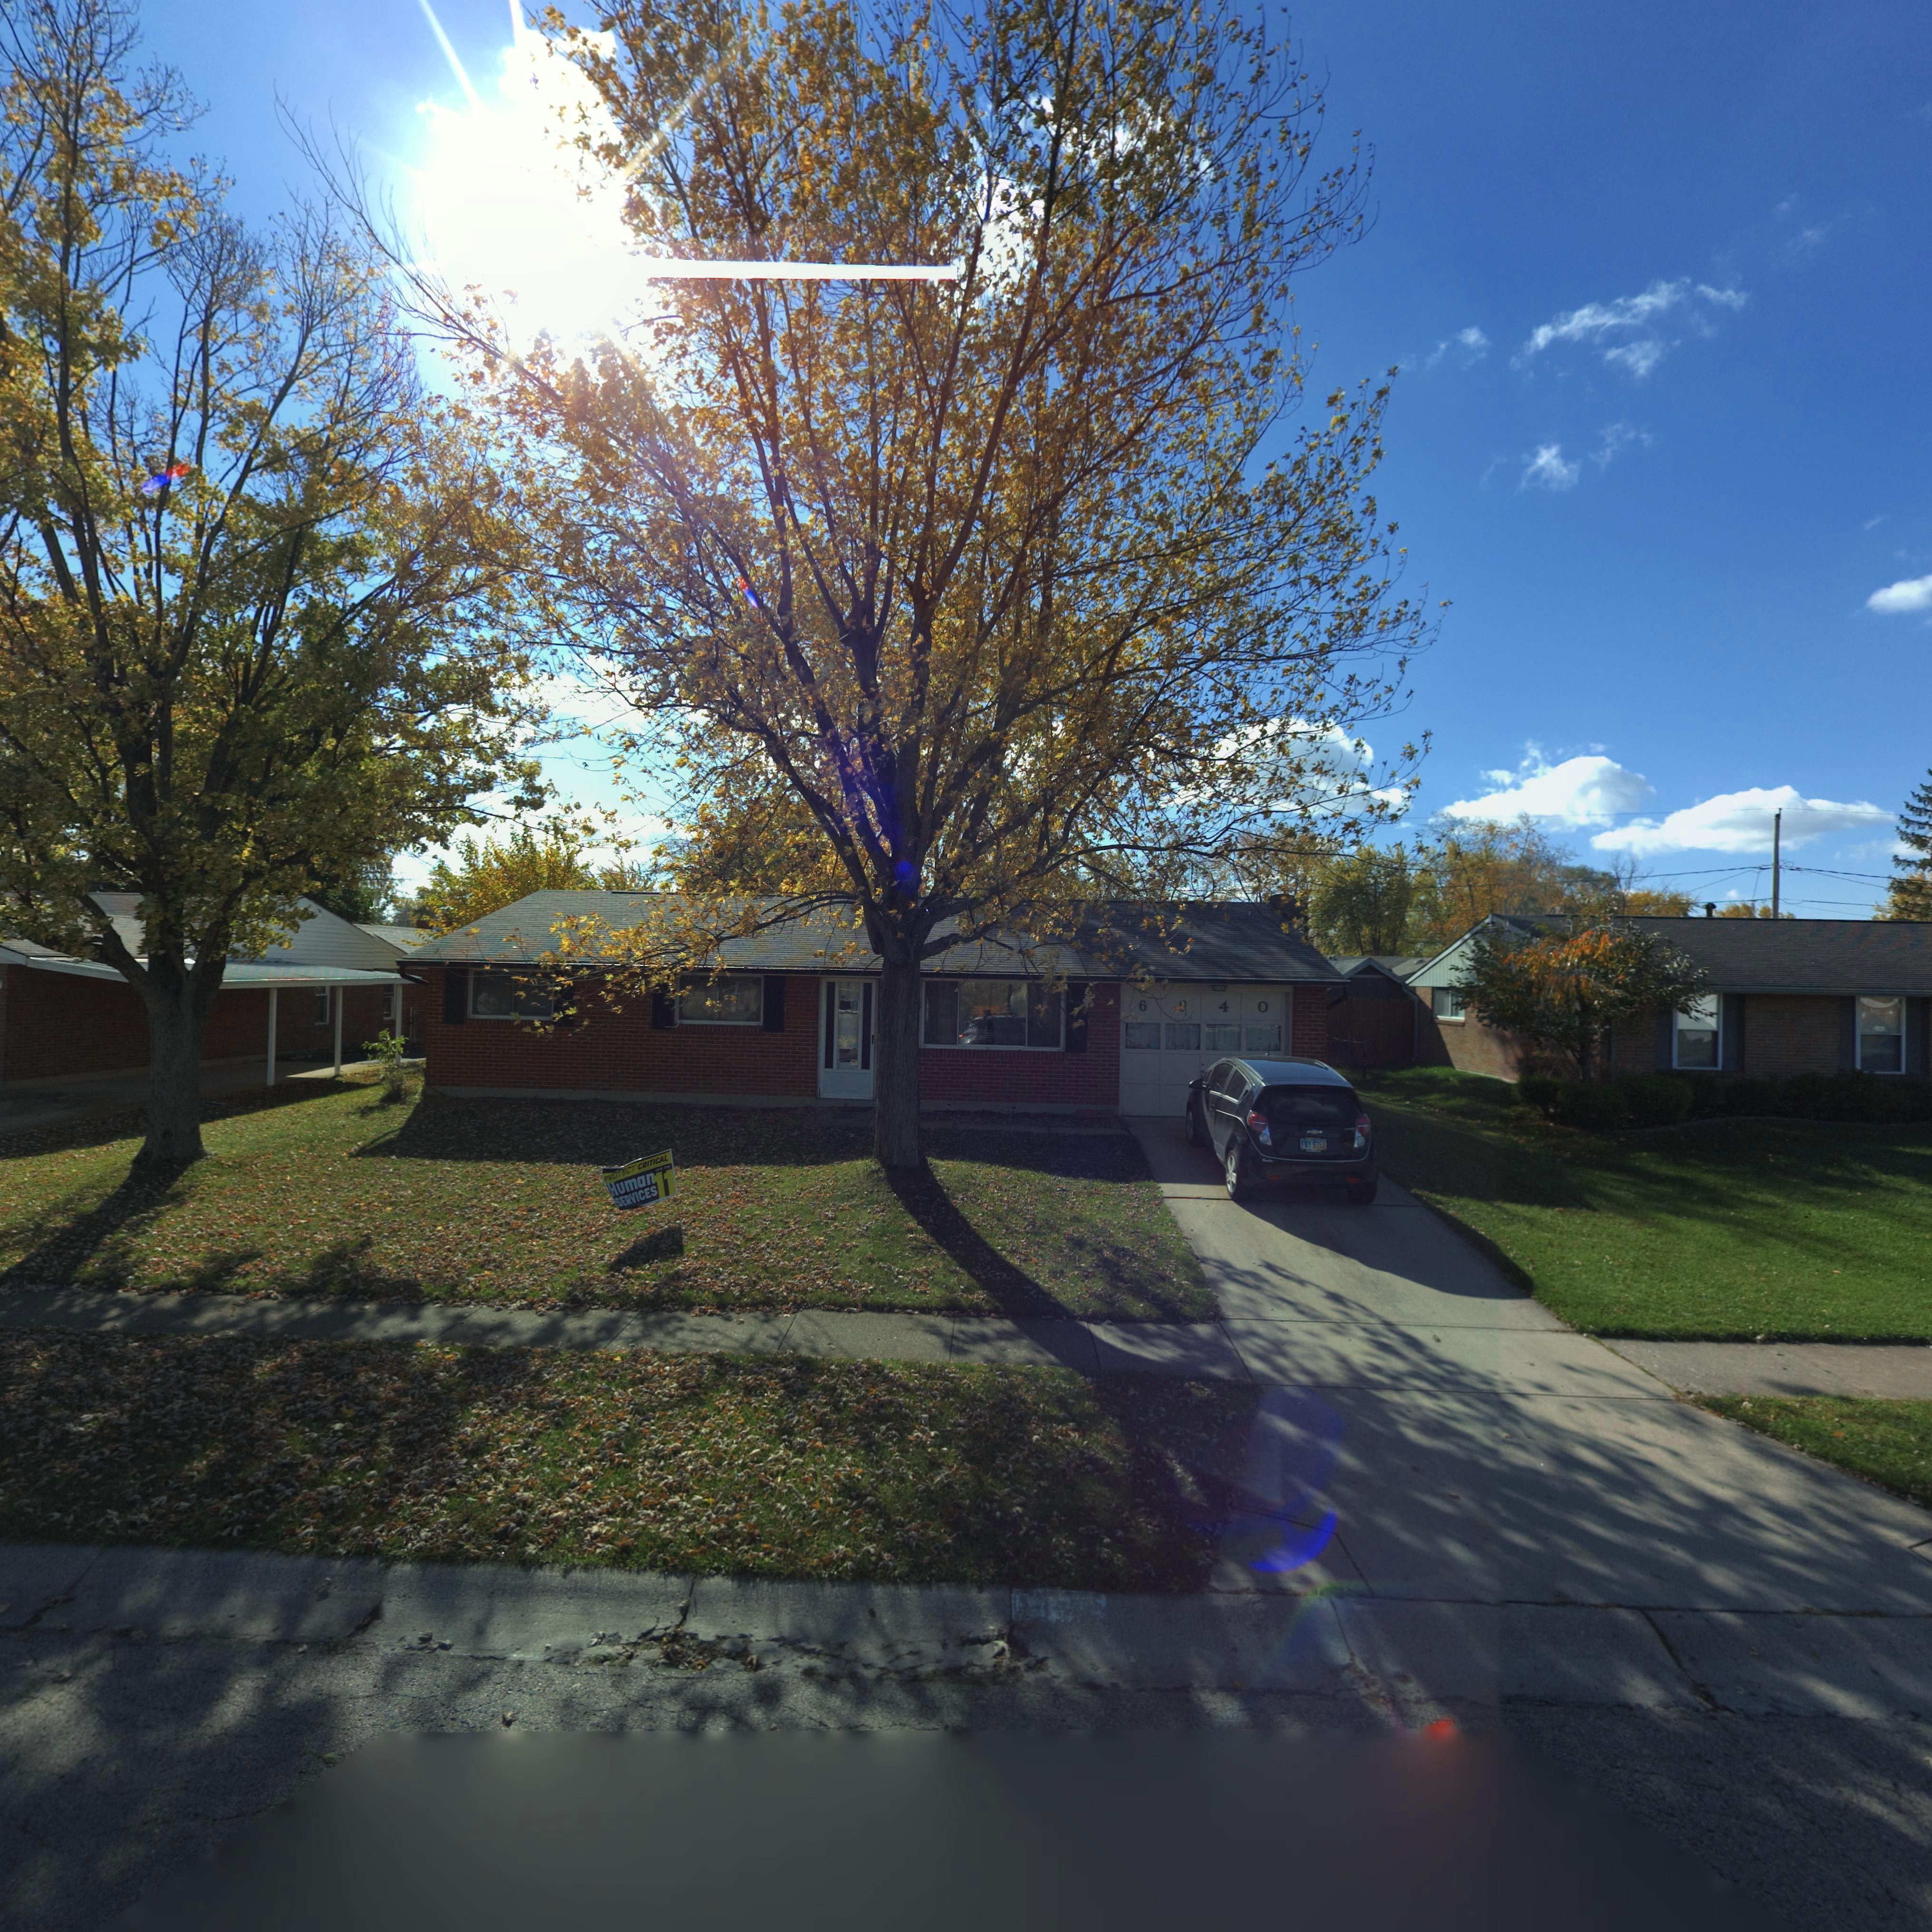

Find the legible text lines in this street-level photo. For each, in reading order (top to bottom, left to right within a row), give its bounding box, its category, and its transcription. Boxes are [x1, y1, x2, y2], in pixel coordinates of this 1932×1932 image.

[1137, 998, 1271, 1014] StreetNumber: 6***4*0